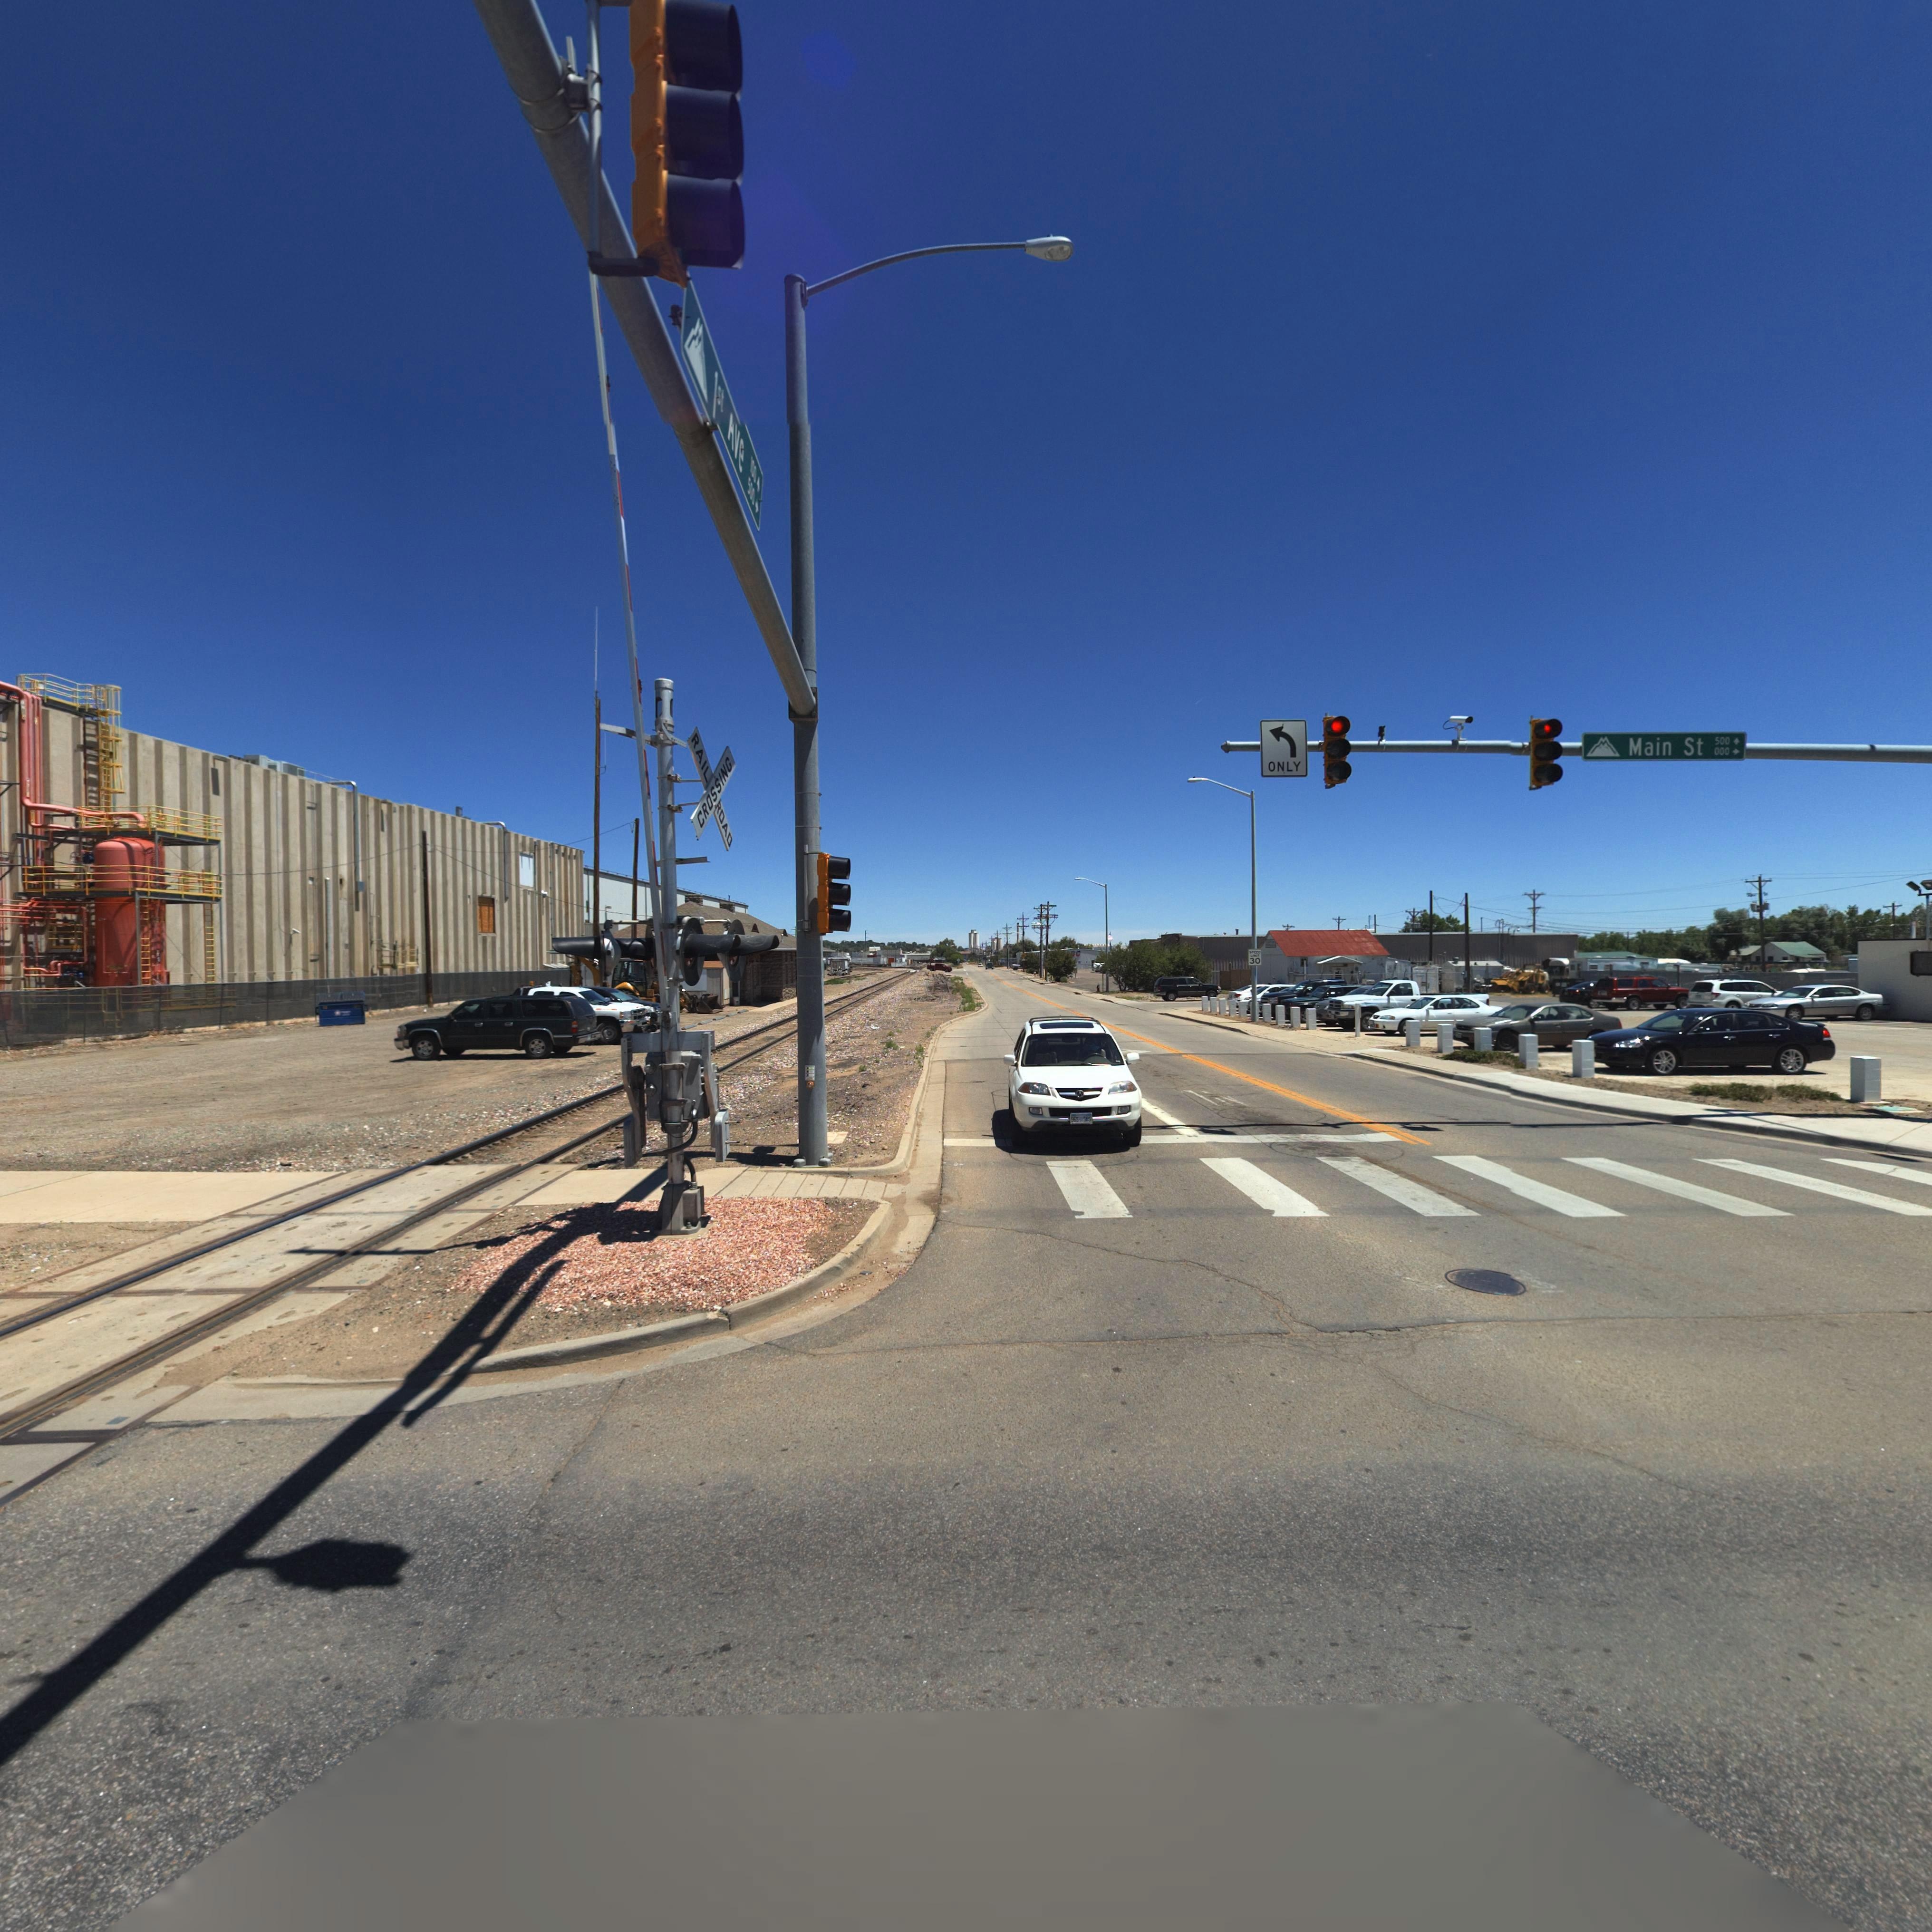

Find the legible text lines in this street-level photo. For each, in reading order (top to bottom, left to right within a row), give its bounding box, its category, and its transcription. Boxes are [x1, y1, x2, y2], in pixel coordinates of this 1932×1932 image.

[711, 369, 745, 474] StreetName: 1*t Ave
[749, 455, 757, 484] StreetNumberRange: *00
[746, 476, 759, 513] StreetNumberRange: 500*
[1628, 736, 1704, 756] StreetName: Main St
[1714, 736, 1730, 745] StreetNumberRange: 500
[1713, 746, 1740, 755] StreetNumberRange: 000->